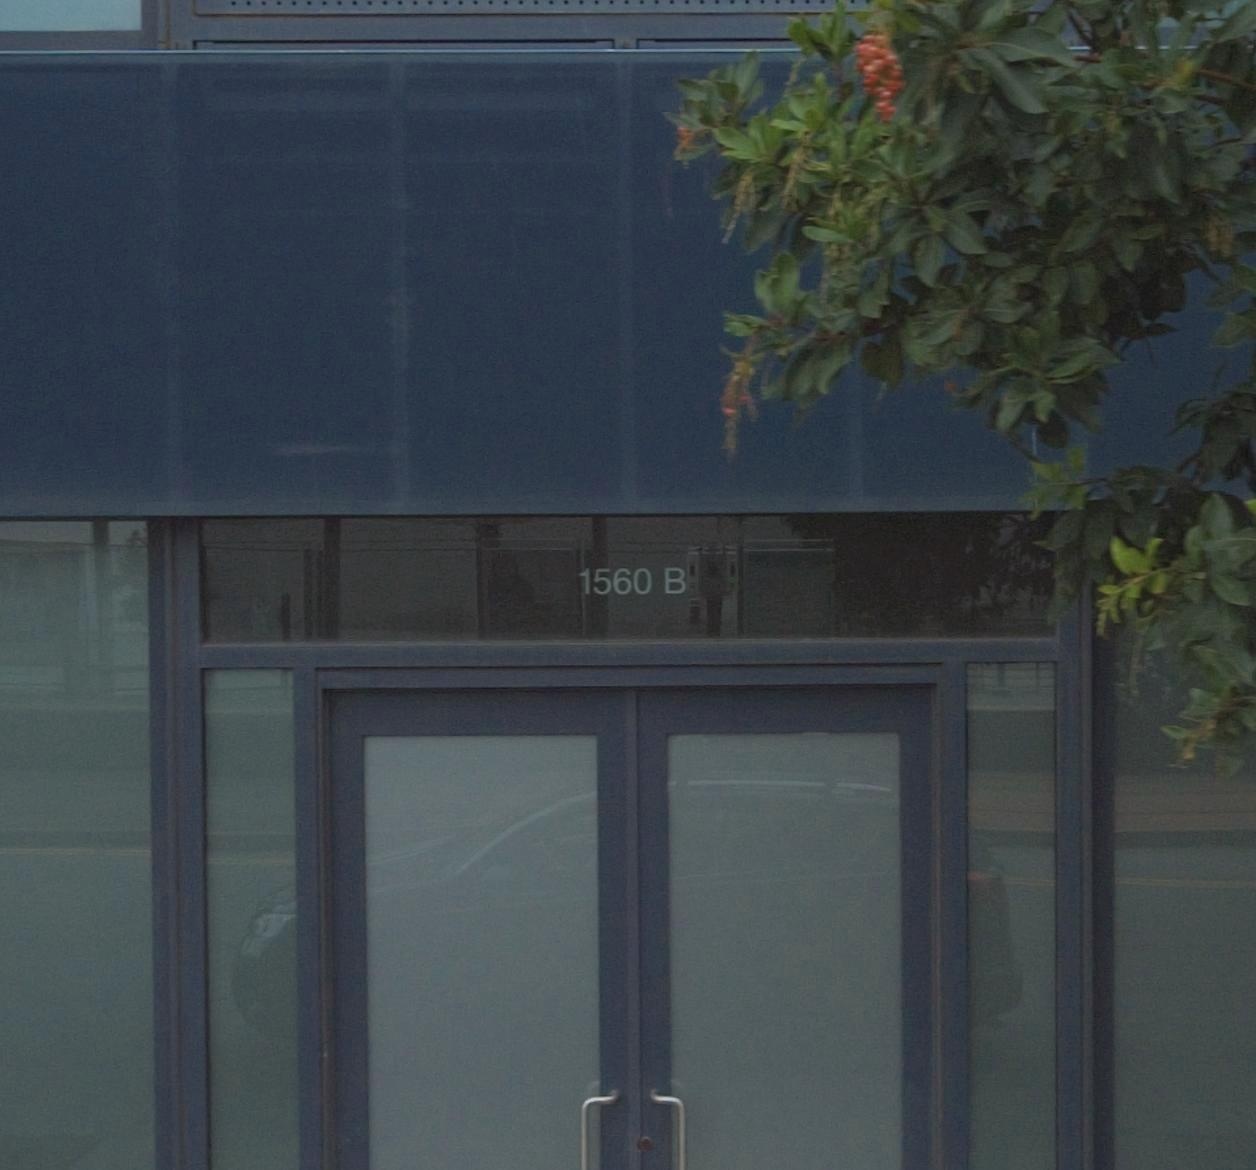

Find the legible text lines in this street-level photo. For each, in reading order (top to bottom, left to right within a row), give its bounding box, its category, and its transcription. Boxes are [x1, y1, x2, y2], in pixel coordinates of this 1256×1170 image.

[576, 565, 688, 598] StreetNumber: 1560 B